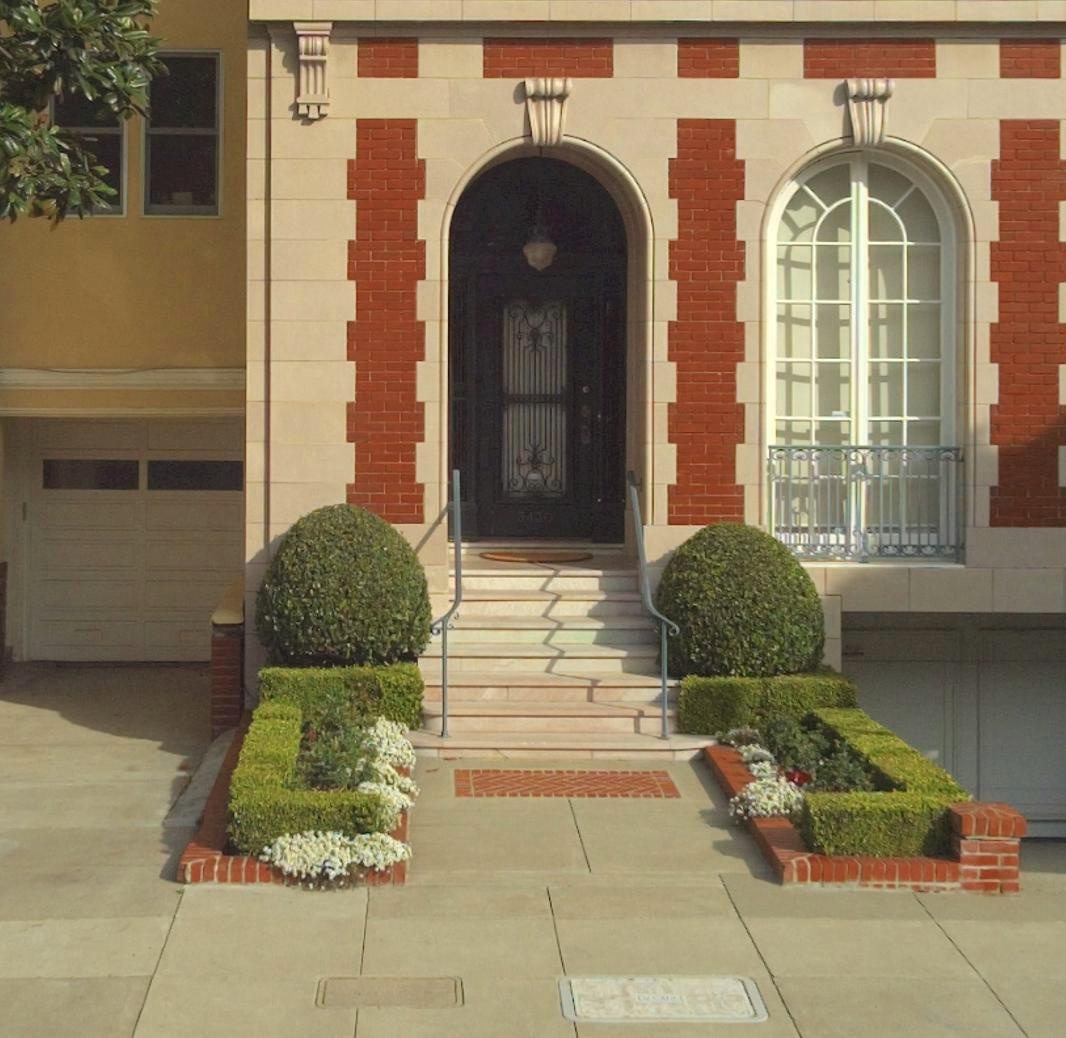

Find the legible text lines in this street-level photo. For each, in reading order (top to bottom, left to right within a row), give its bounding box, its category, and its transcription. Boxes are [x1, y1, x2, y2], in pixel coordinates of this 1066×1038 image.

[516, 509, 555, 525] StreetNumber: 3430